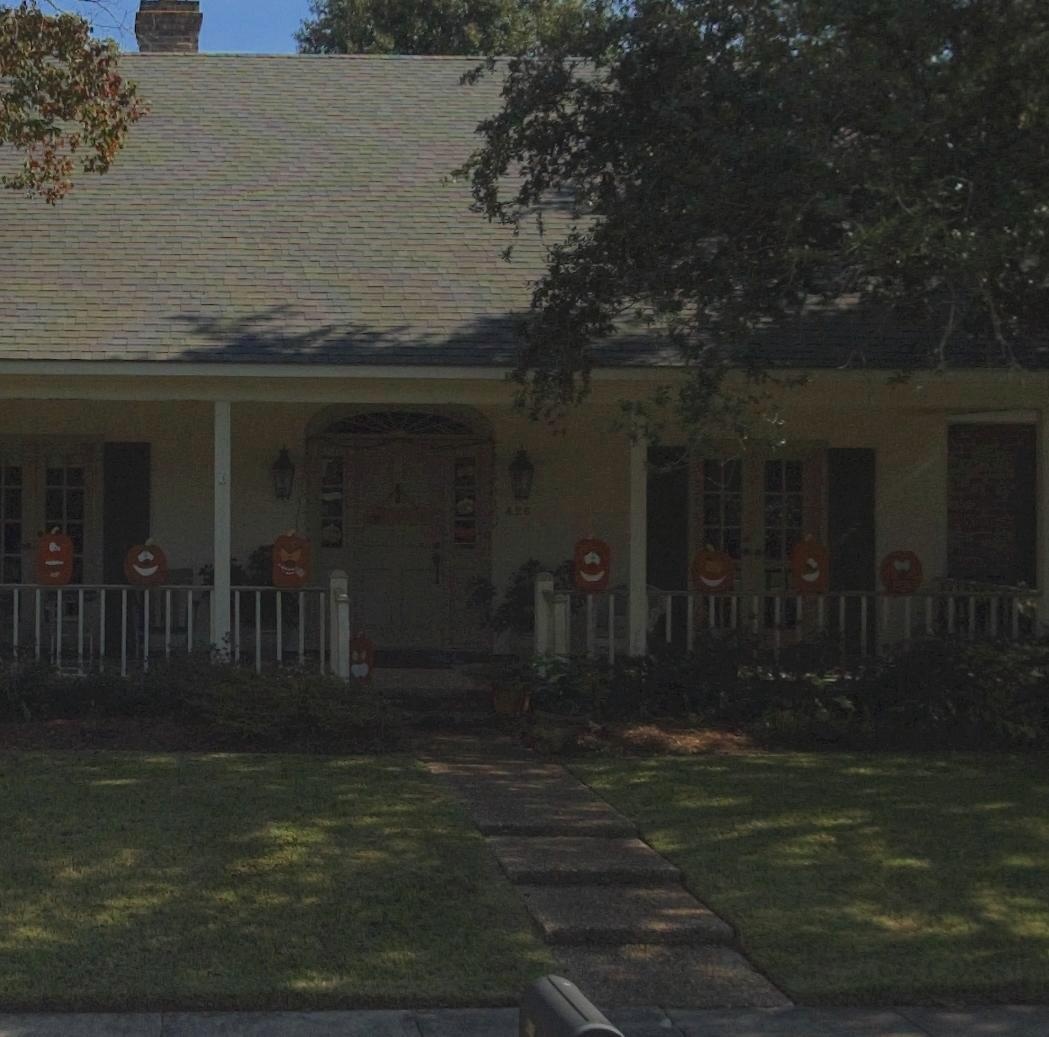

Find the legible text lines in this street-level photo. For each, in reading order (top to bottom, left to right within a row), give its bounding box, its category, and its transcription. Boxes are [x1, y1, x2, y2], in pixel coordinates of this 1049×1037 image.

[505, 506, 533, 516] StreetNumber: 426